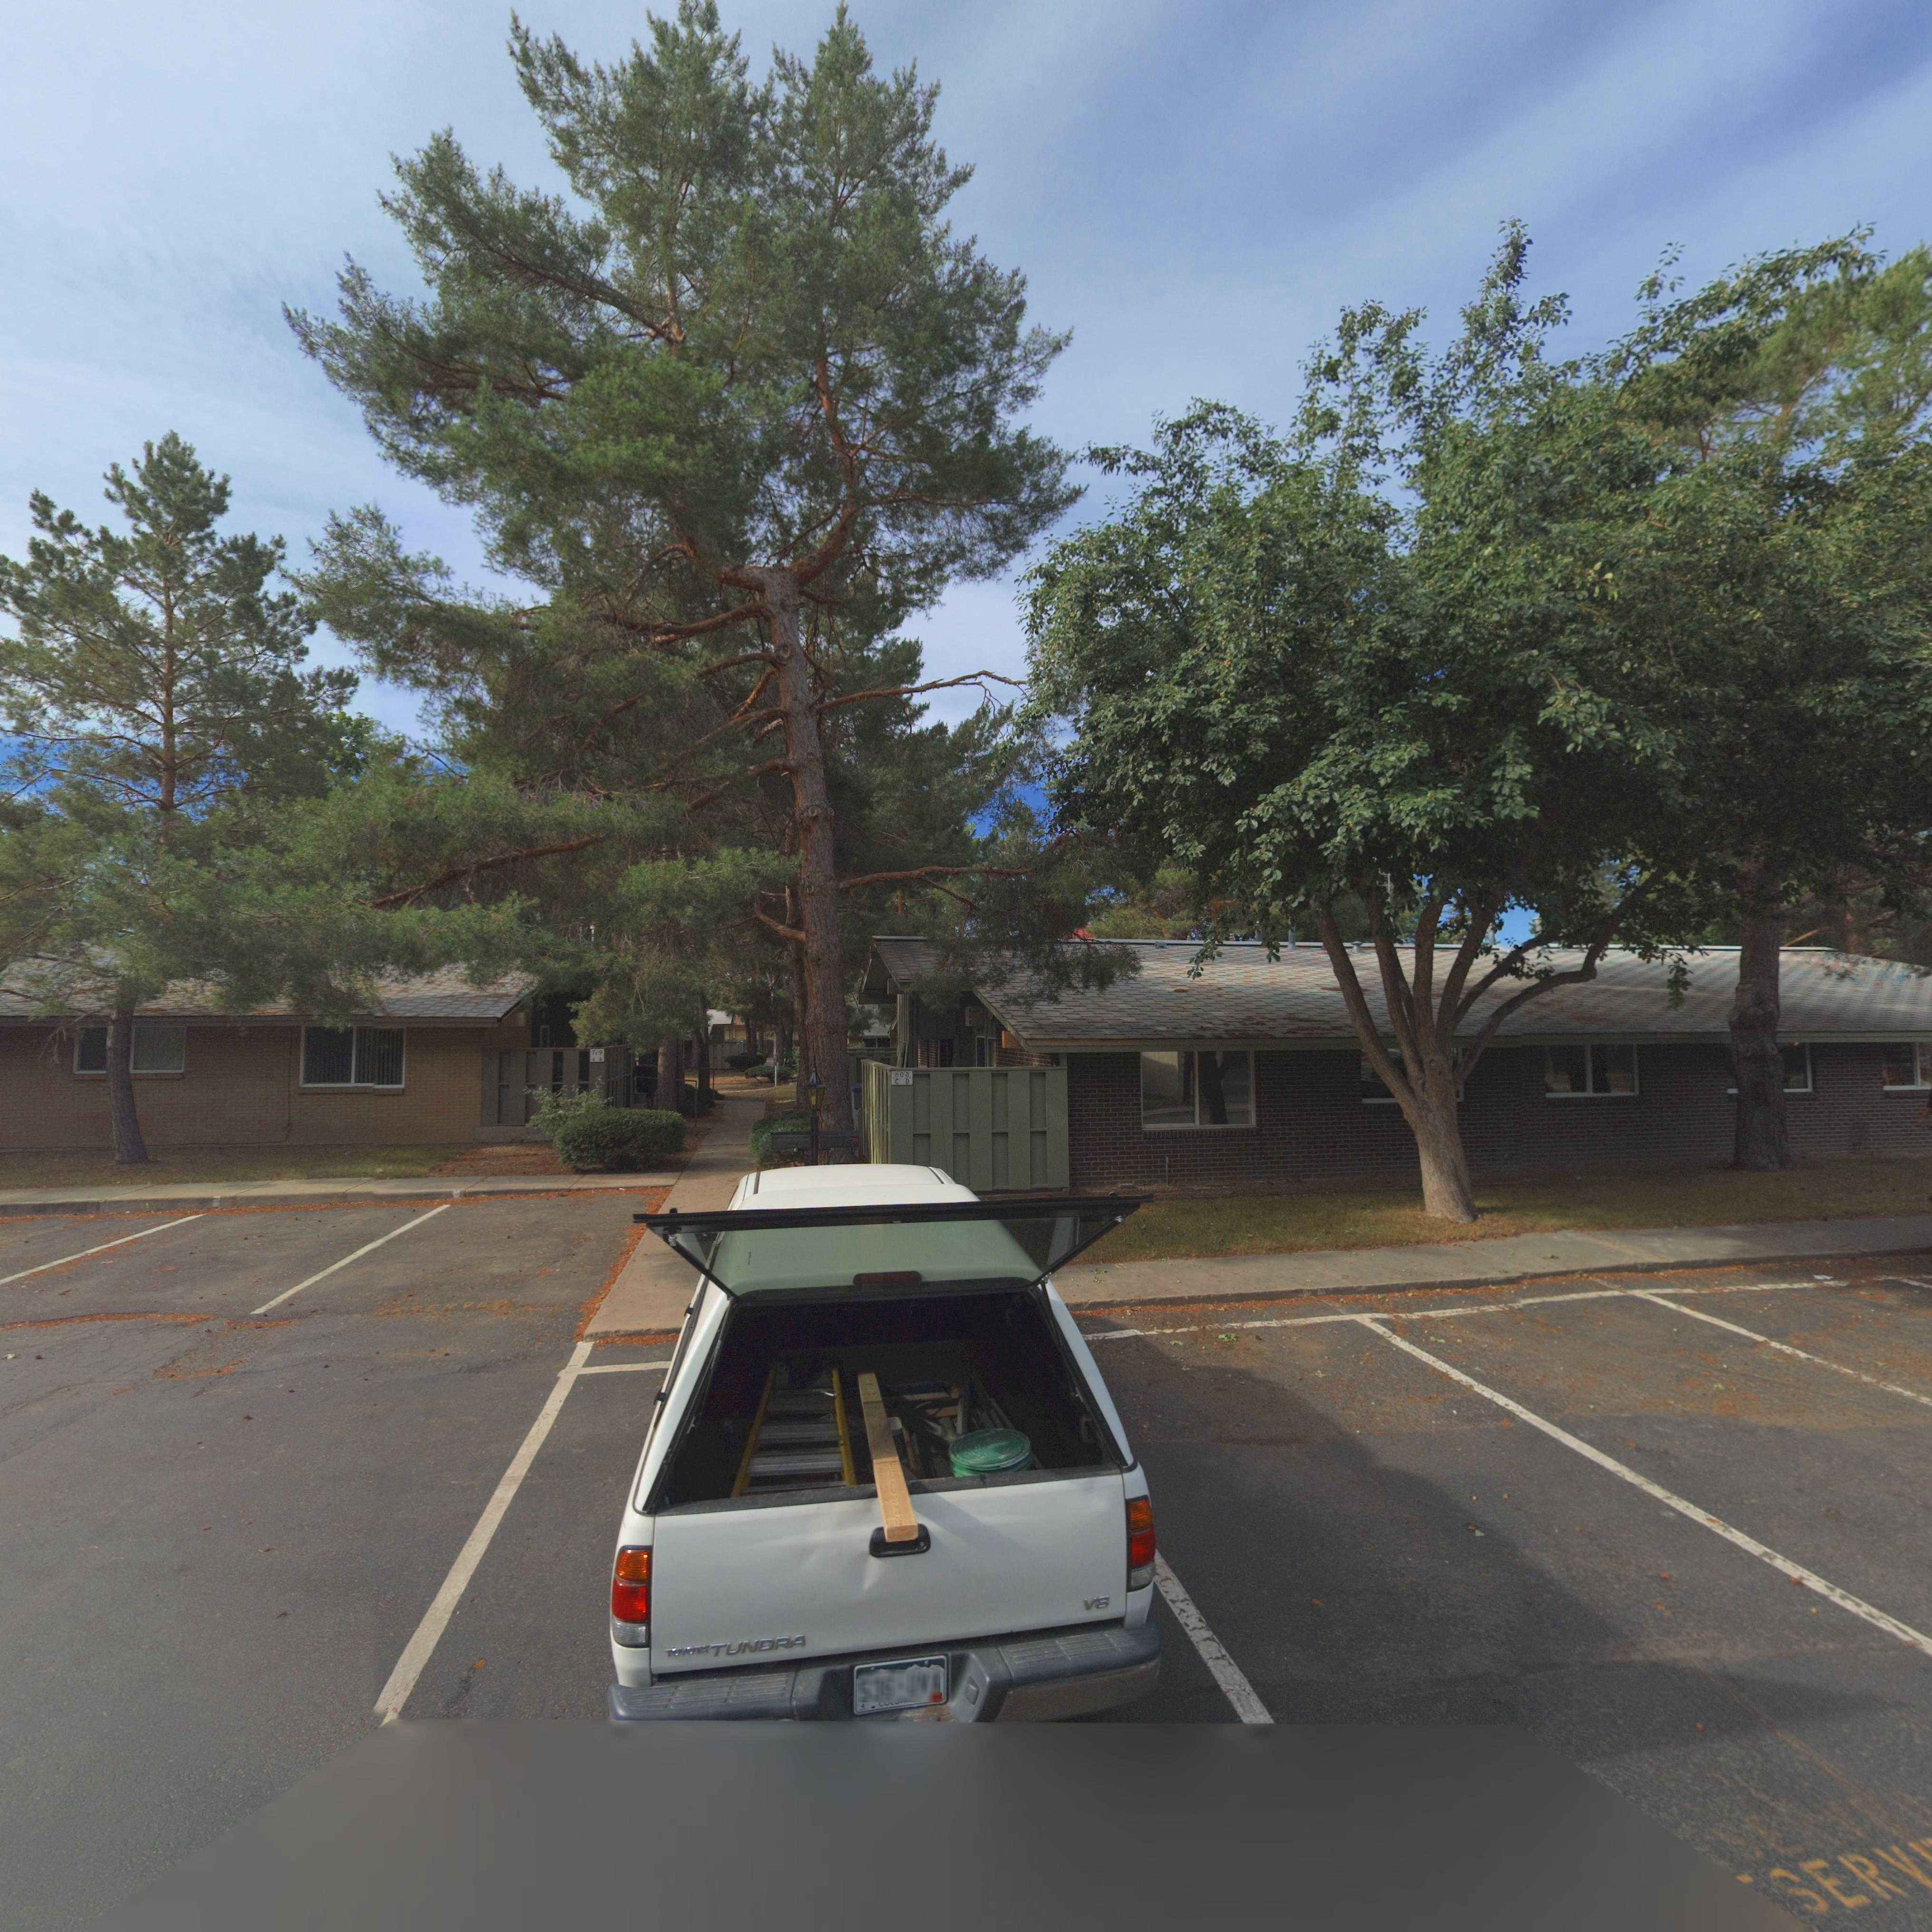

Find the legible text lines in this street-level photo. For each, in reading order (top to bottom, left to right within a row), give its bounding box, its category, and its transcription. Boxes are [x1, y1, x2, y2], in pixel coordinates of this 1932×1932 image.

[591, 1049, 603, 1055] StreetNumber: 719
[591, 1057, 602, 1062] StreetNumber: A B
[894, 1071, 909, 1078] StreetNumber: 803
[895, 1078, 909, 1084] StreetNumber: C D